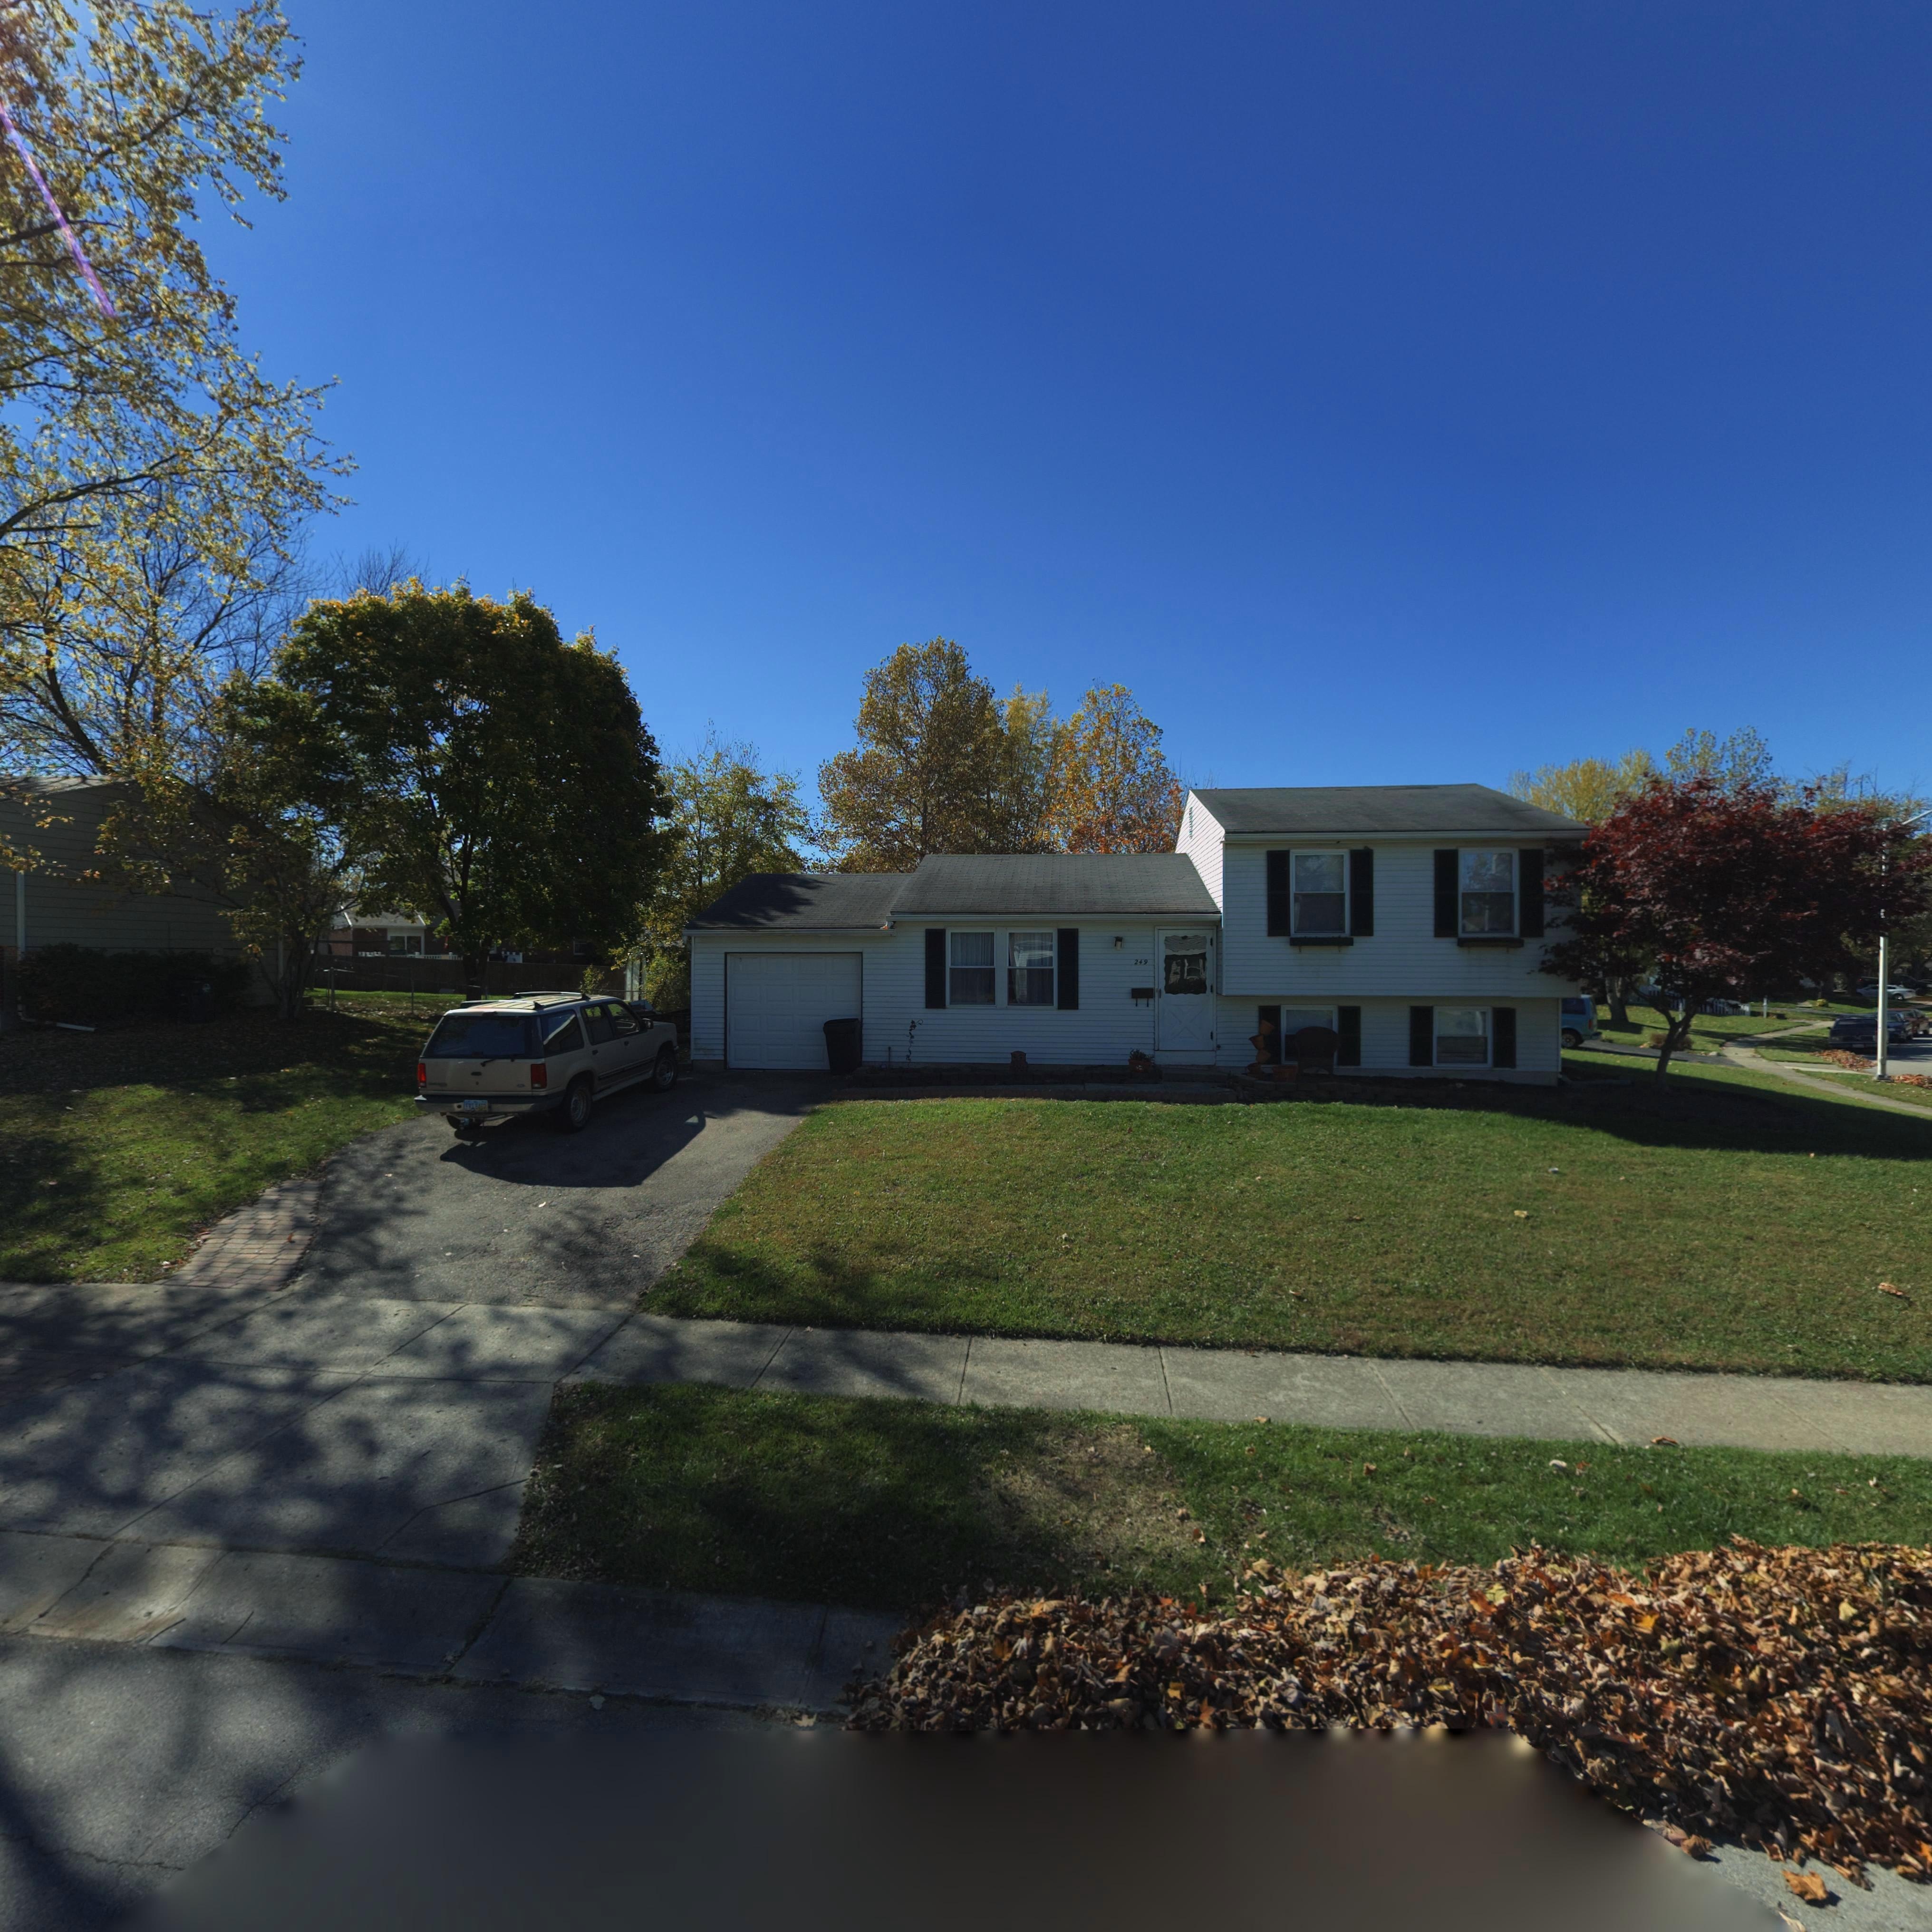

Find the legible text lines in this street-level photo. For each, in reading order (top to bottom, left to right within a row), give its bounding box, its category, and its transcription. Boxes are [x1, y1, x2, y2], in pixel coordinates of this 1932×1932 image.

[1133, 958, 1149, 966] StreetNumber: 249